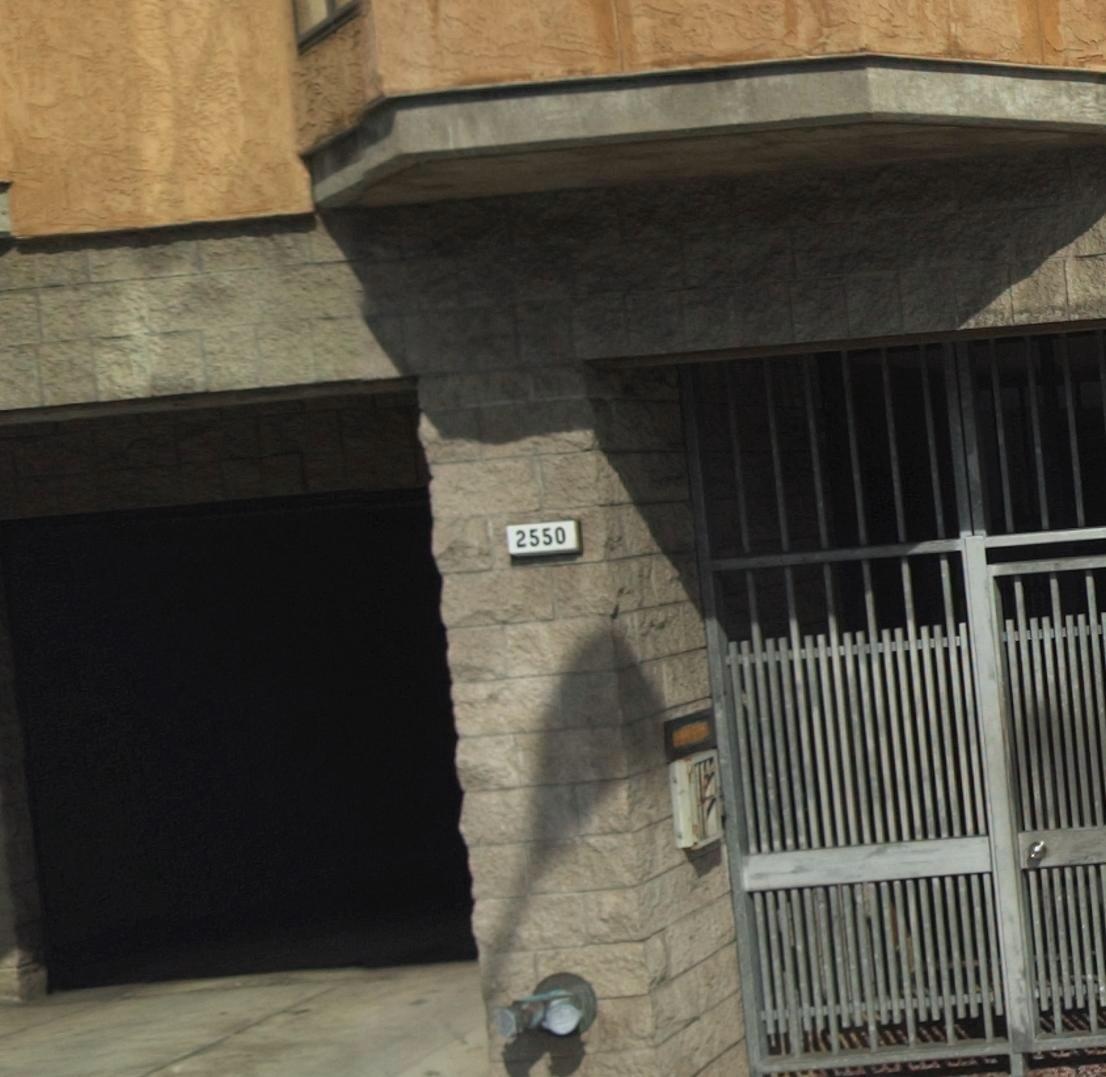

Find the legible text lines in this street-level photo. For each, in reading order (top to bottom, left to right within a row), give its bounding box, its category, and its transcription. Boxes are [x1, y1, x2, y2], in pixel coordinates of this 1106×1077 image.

[513, 523, 569, 552] StreetNumber: 2550